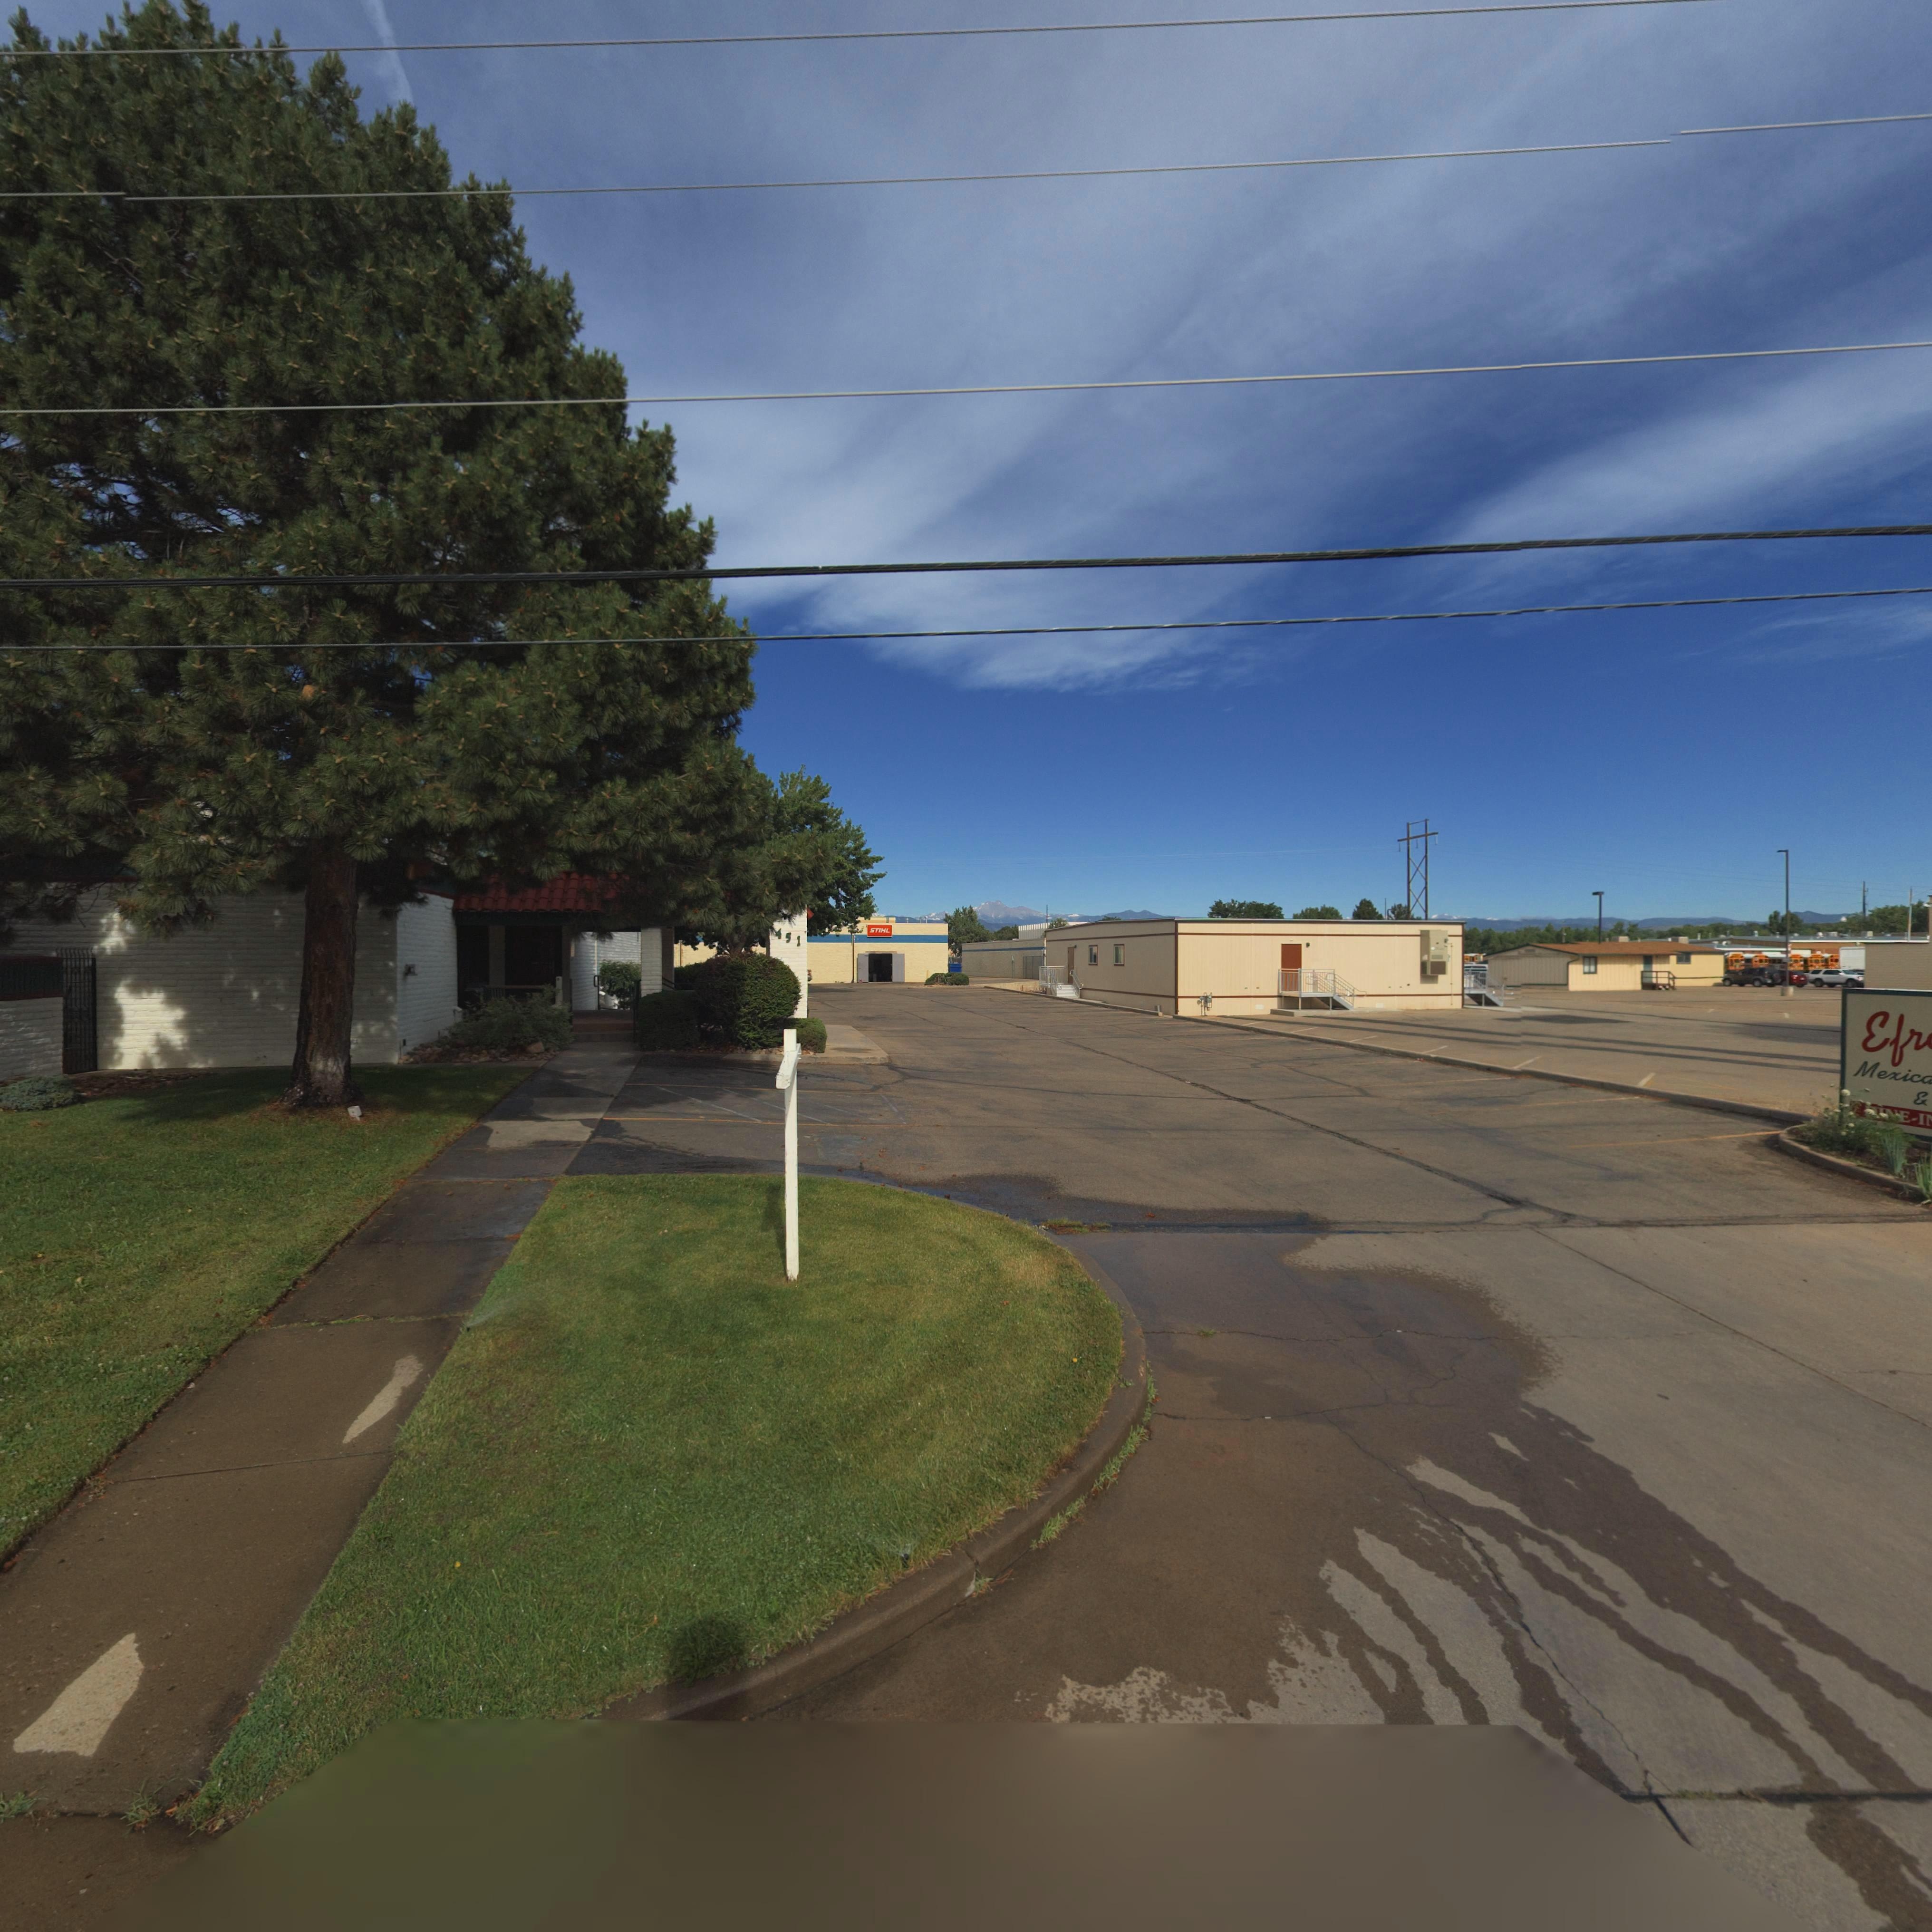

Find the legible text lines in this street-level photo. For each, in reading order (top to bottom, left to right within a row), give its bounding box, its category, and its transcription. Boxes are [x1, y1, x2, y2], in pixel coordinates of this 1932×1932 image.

[869, 927, 890, 933] BusinessName: STIHL
[1861, 1010, 1923, 1068] BusinessName: Efr
[1852, 1060, 1922, 1083] BusinessName: Mexic